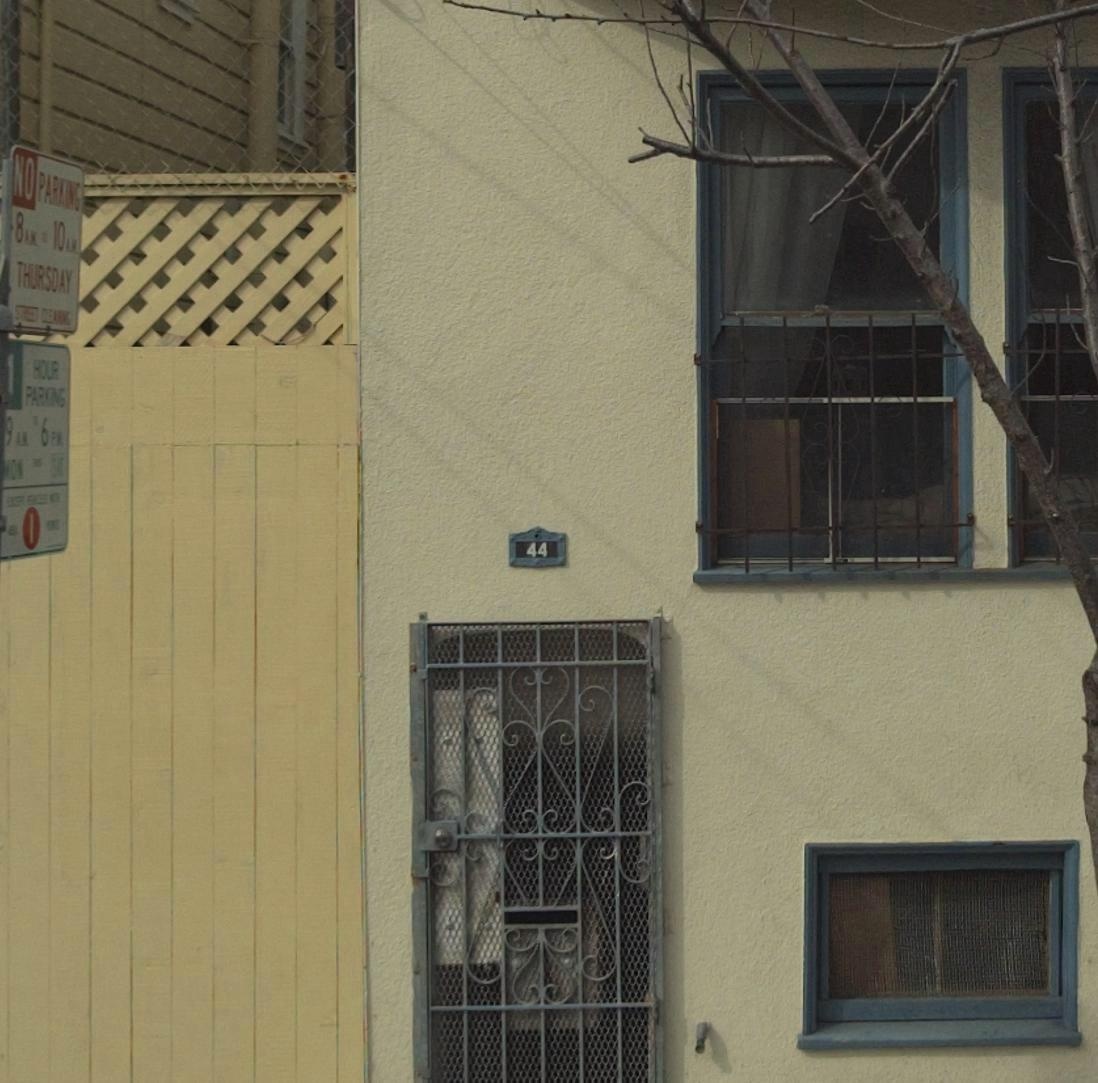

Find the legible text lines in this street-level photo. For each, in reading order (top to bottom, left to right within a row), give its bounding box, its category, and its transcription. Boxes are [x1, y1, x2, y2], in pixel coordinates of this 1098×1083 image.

[11, 152, 82, 213] None: NO PARKING
[14, 208, 26, 246] None: 8
[51, 217, 67, 253] None: 10
[15, 258, 75, 296] None: THURSDAY
[5, 348, 17, 398] None: 1
[32, 356, 62, 382] None: HOUR
[23, 383, 67, 409] None: PARKING
[4, 414, 15, 449] None: 9
[38, 413, 50, 449] None: 6
[525, 540, 549, 559] StreetNumber: 44